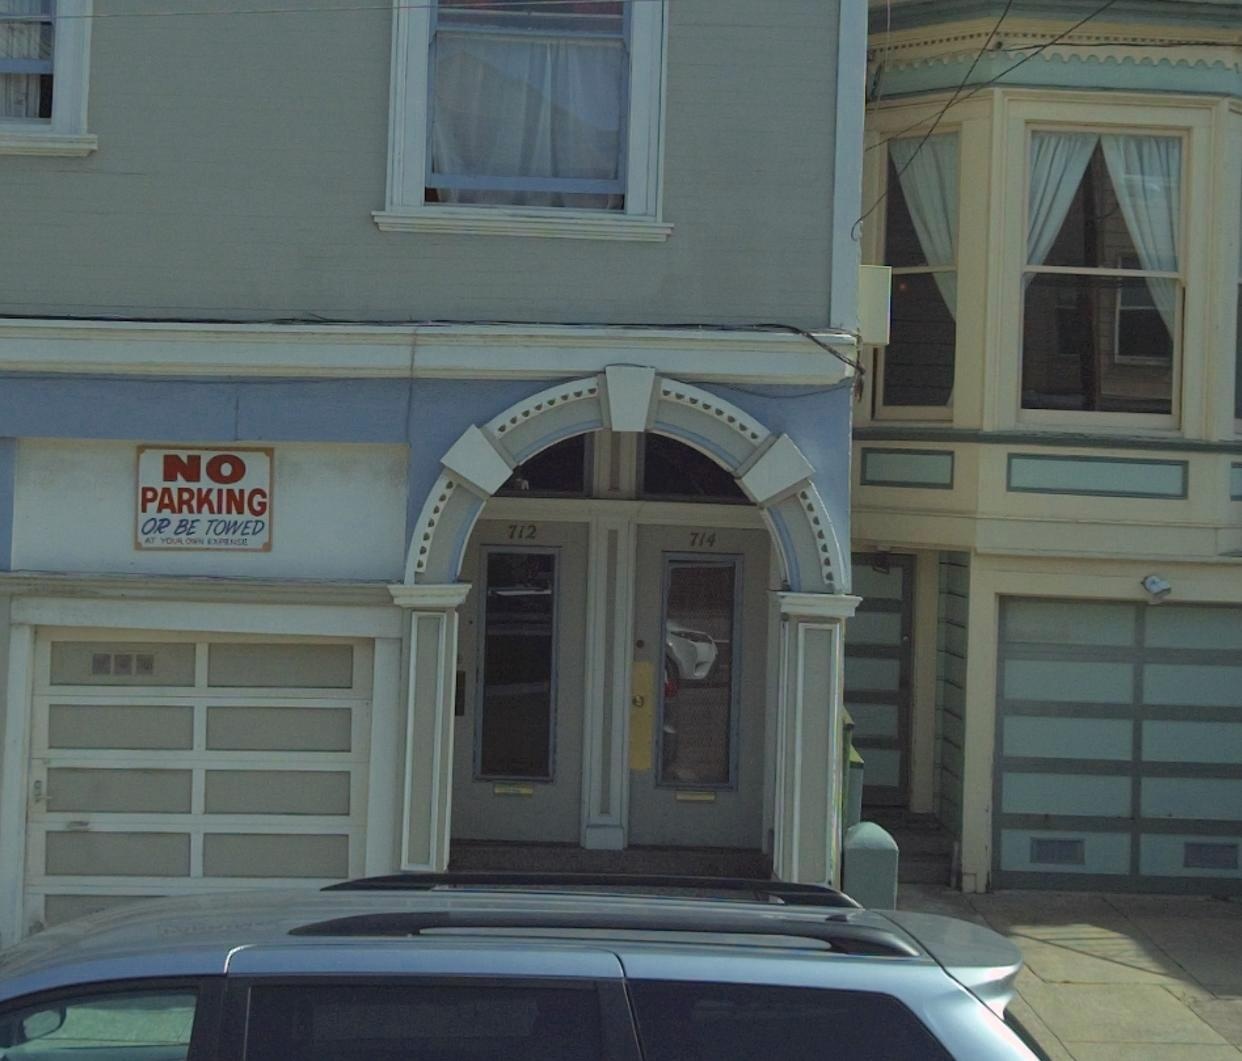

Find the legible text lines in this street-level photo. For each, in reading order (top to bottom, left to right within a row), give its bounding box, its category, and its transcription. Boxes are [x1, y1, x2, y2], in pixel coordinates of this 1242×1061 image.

[161, 451, 249, 486] None: NO
[139, 484, 270, 518] None: PARKING
[139, 516, 268, 538] None: OR BE TOWED
[506, 522, 539, 542] StreetNumber: 712
[687, 530, 720, 549] StreetNumber: 714